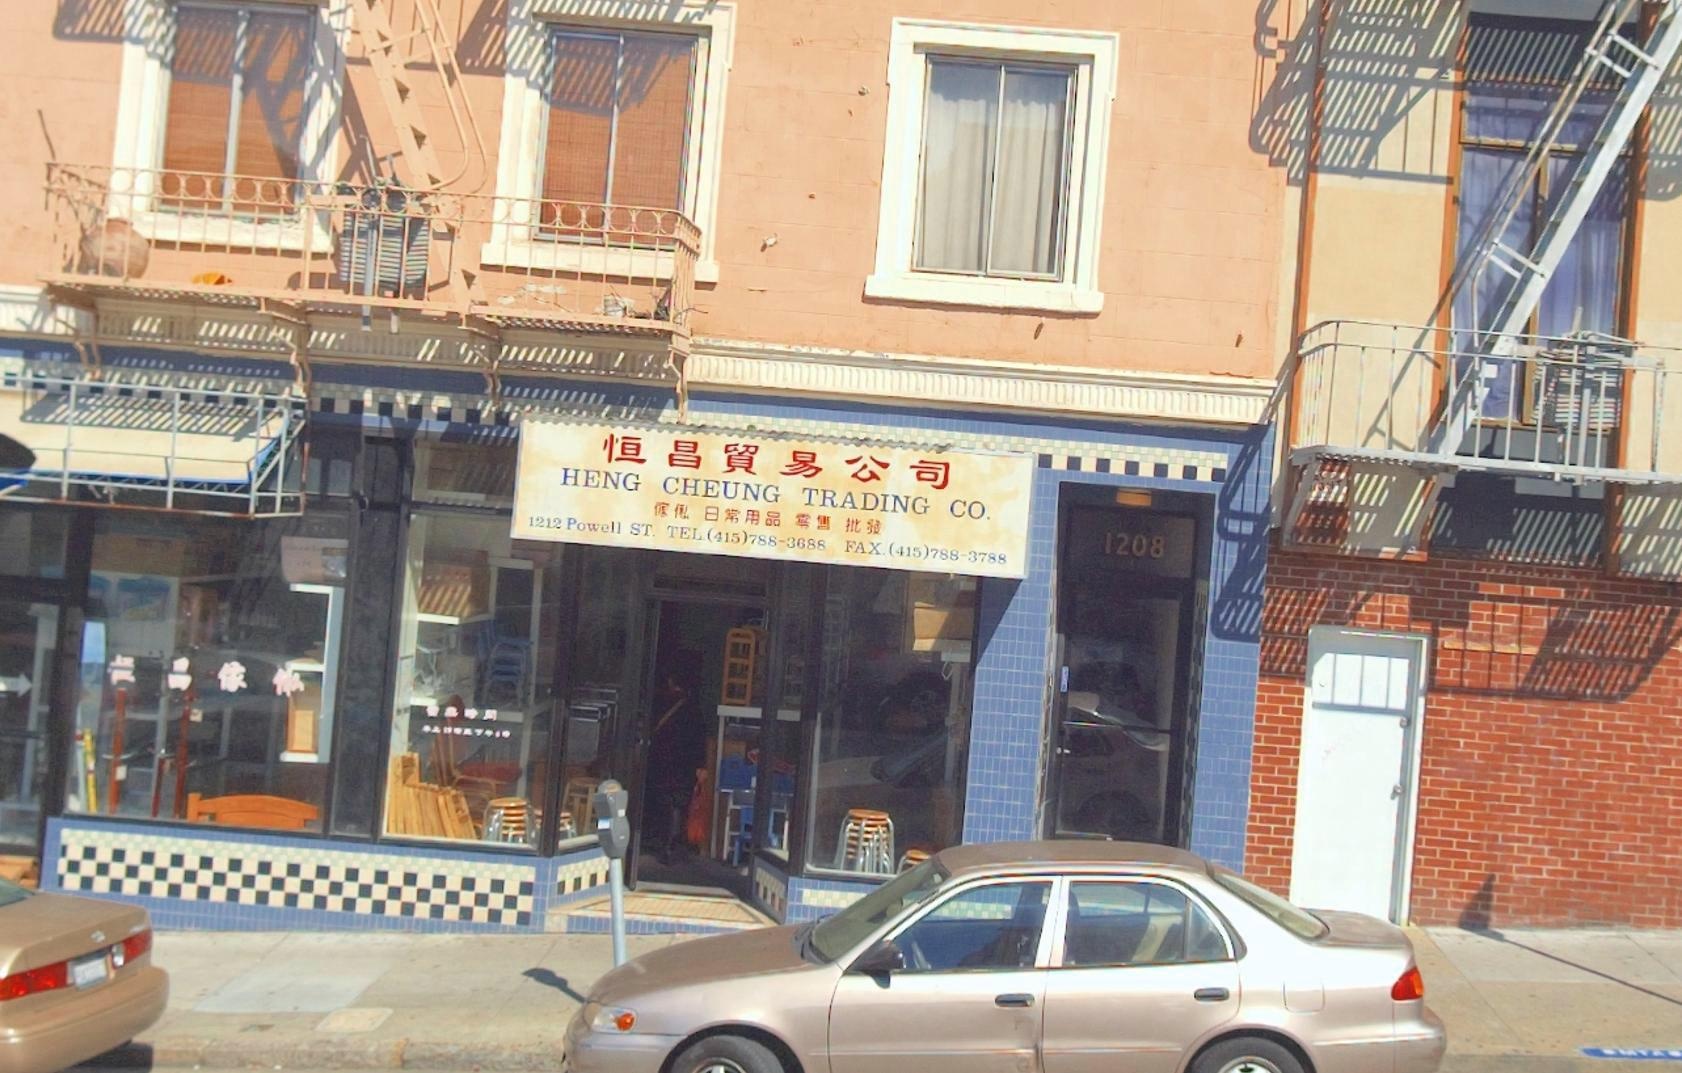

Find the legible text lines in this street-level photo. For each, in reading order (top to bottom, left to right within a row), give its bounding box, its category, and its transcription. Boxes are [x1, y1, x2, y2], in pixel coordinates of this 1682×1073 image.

[559, 466, 992, 521] BusinessName: HENG CHEUNG TRADING CO.
[529, 515, 562, 529] StreetNumber: 1212
[566, 517, 656, 539] StreetName: Powell ST.
[664, 523, 1009, 566] None: TEL.(415)788-3688 FAX.(45)788-3788
[1103, 531, 1165, 560] StreetNumber: 1208
[1617, 1048, 1668, 1058] None: MTA